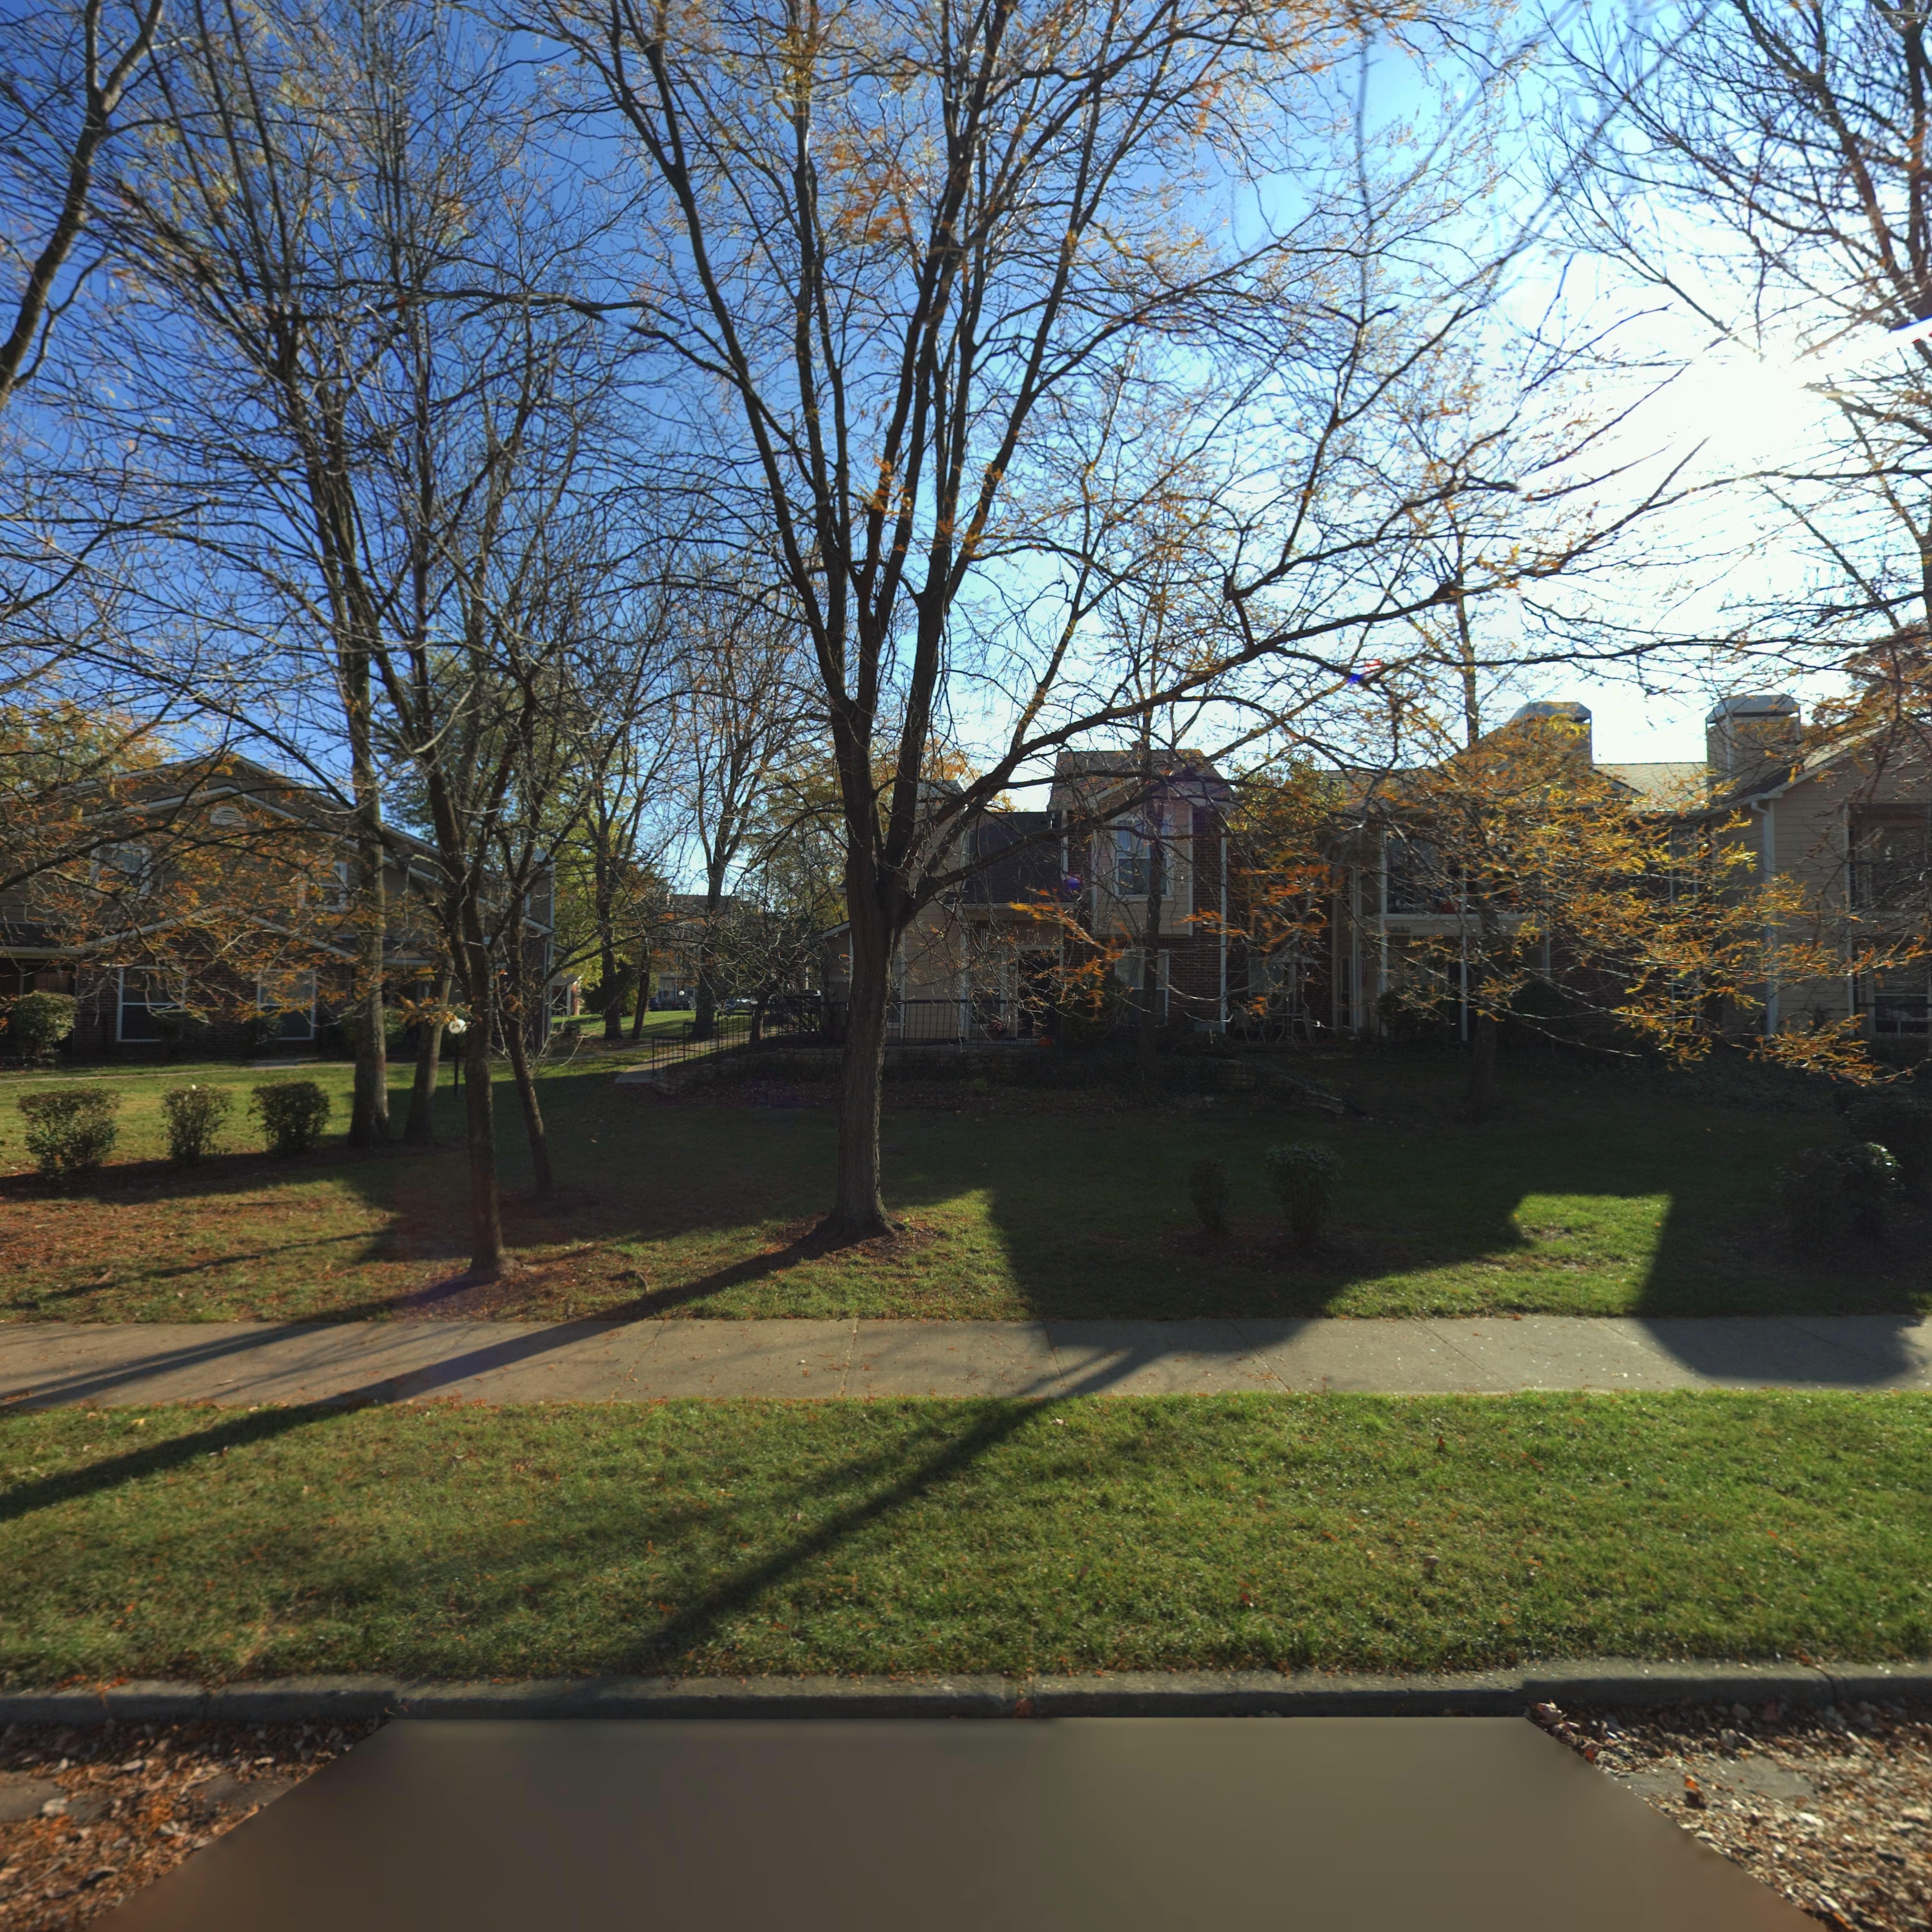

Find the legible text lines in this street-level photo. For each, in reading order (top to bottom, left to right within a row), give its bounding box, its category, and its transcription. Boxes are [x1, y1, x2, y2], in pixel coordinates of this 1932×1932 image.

[1023, 934, 1034, 940] StreetNumber: 73*